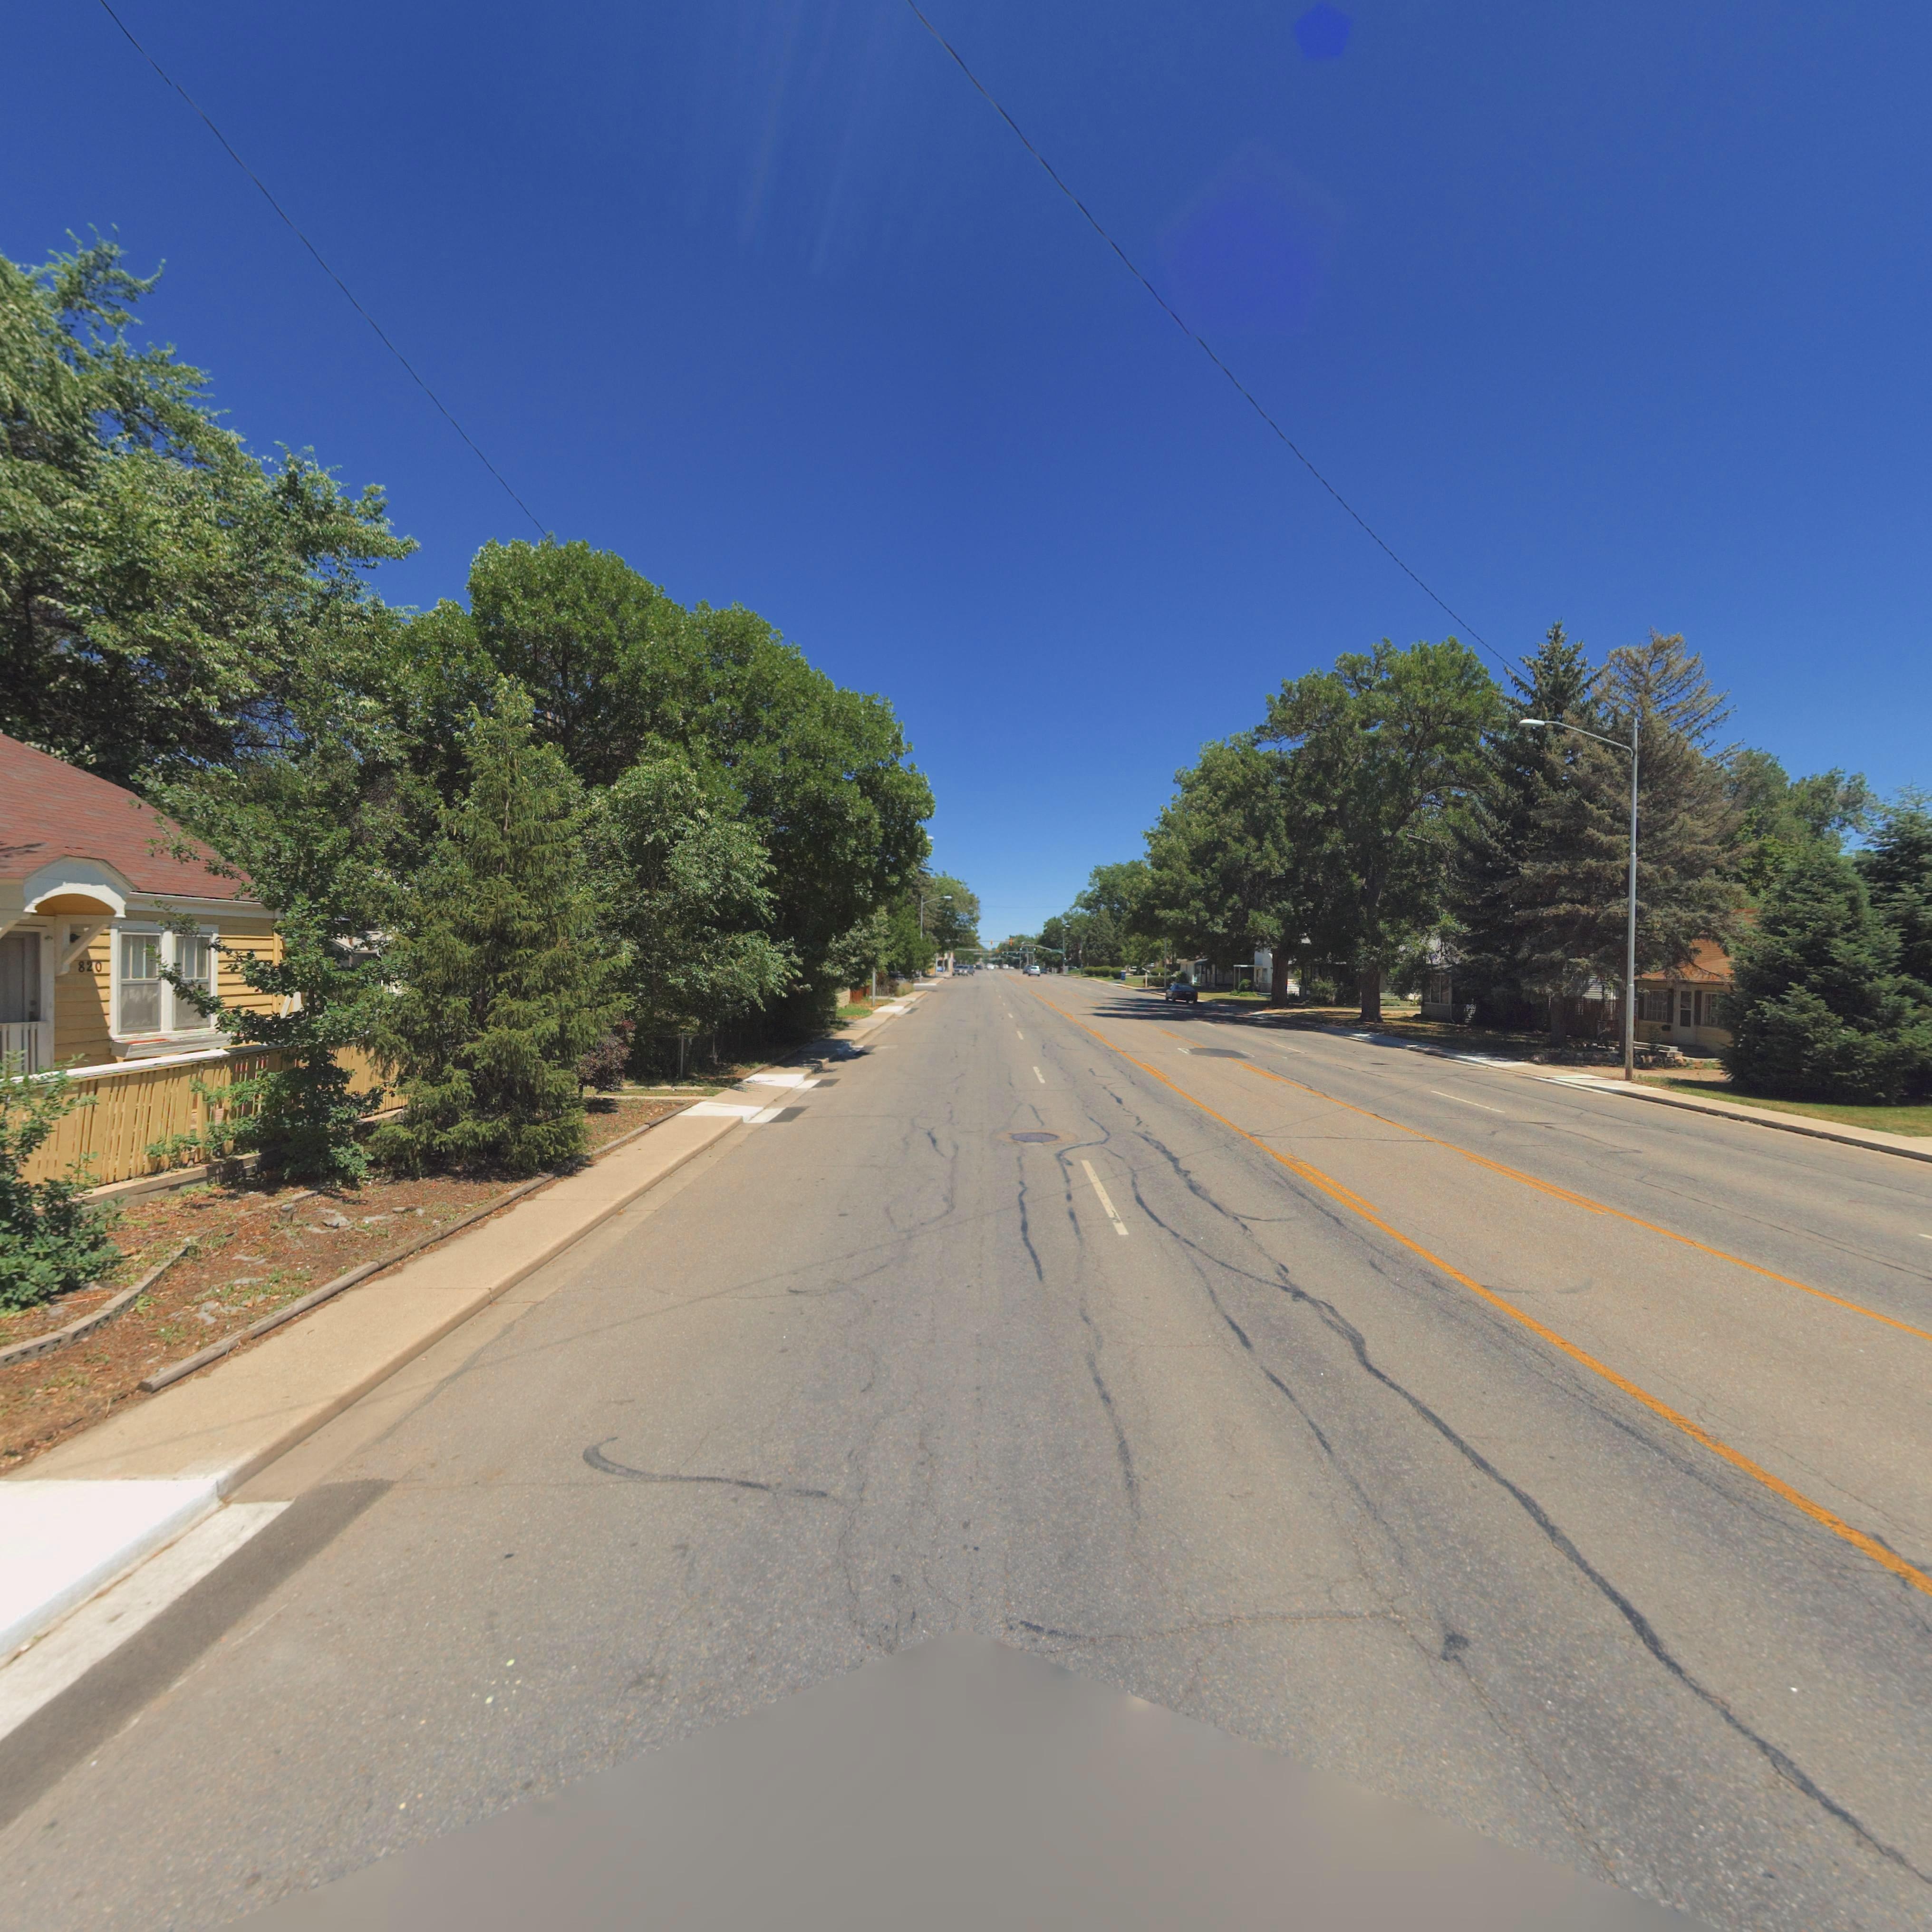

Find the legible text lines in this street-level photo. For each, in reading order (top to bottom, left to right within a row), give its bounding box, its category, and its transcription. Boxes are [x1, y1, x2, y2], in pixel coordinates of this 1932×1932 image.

[77, 961, 102, 972] StreetNumber: 820